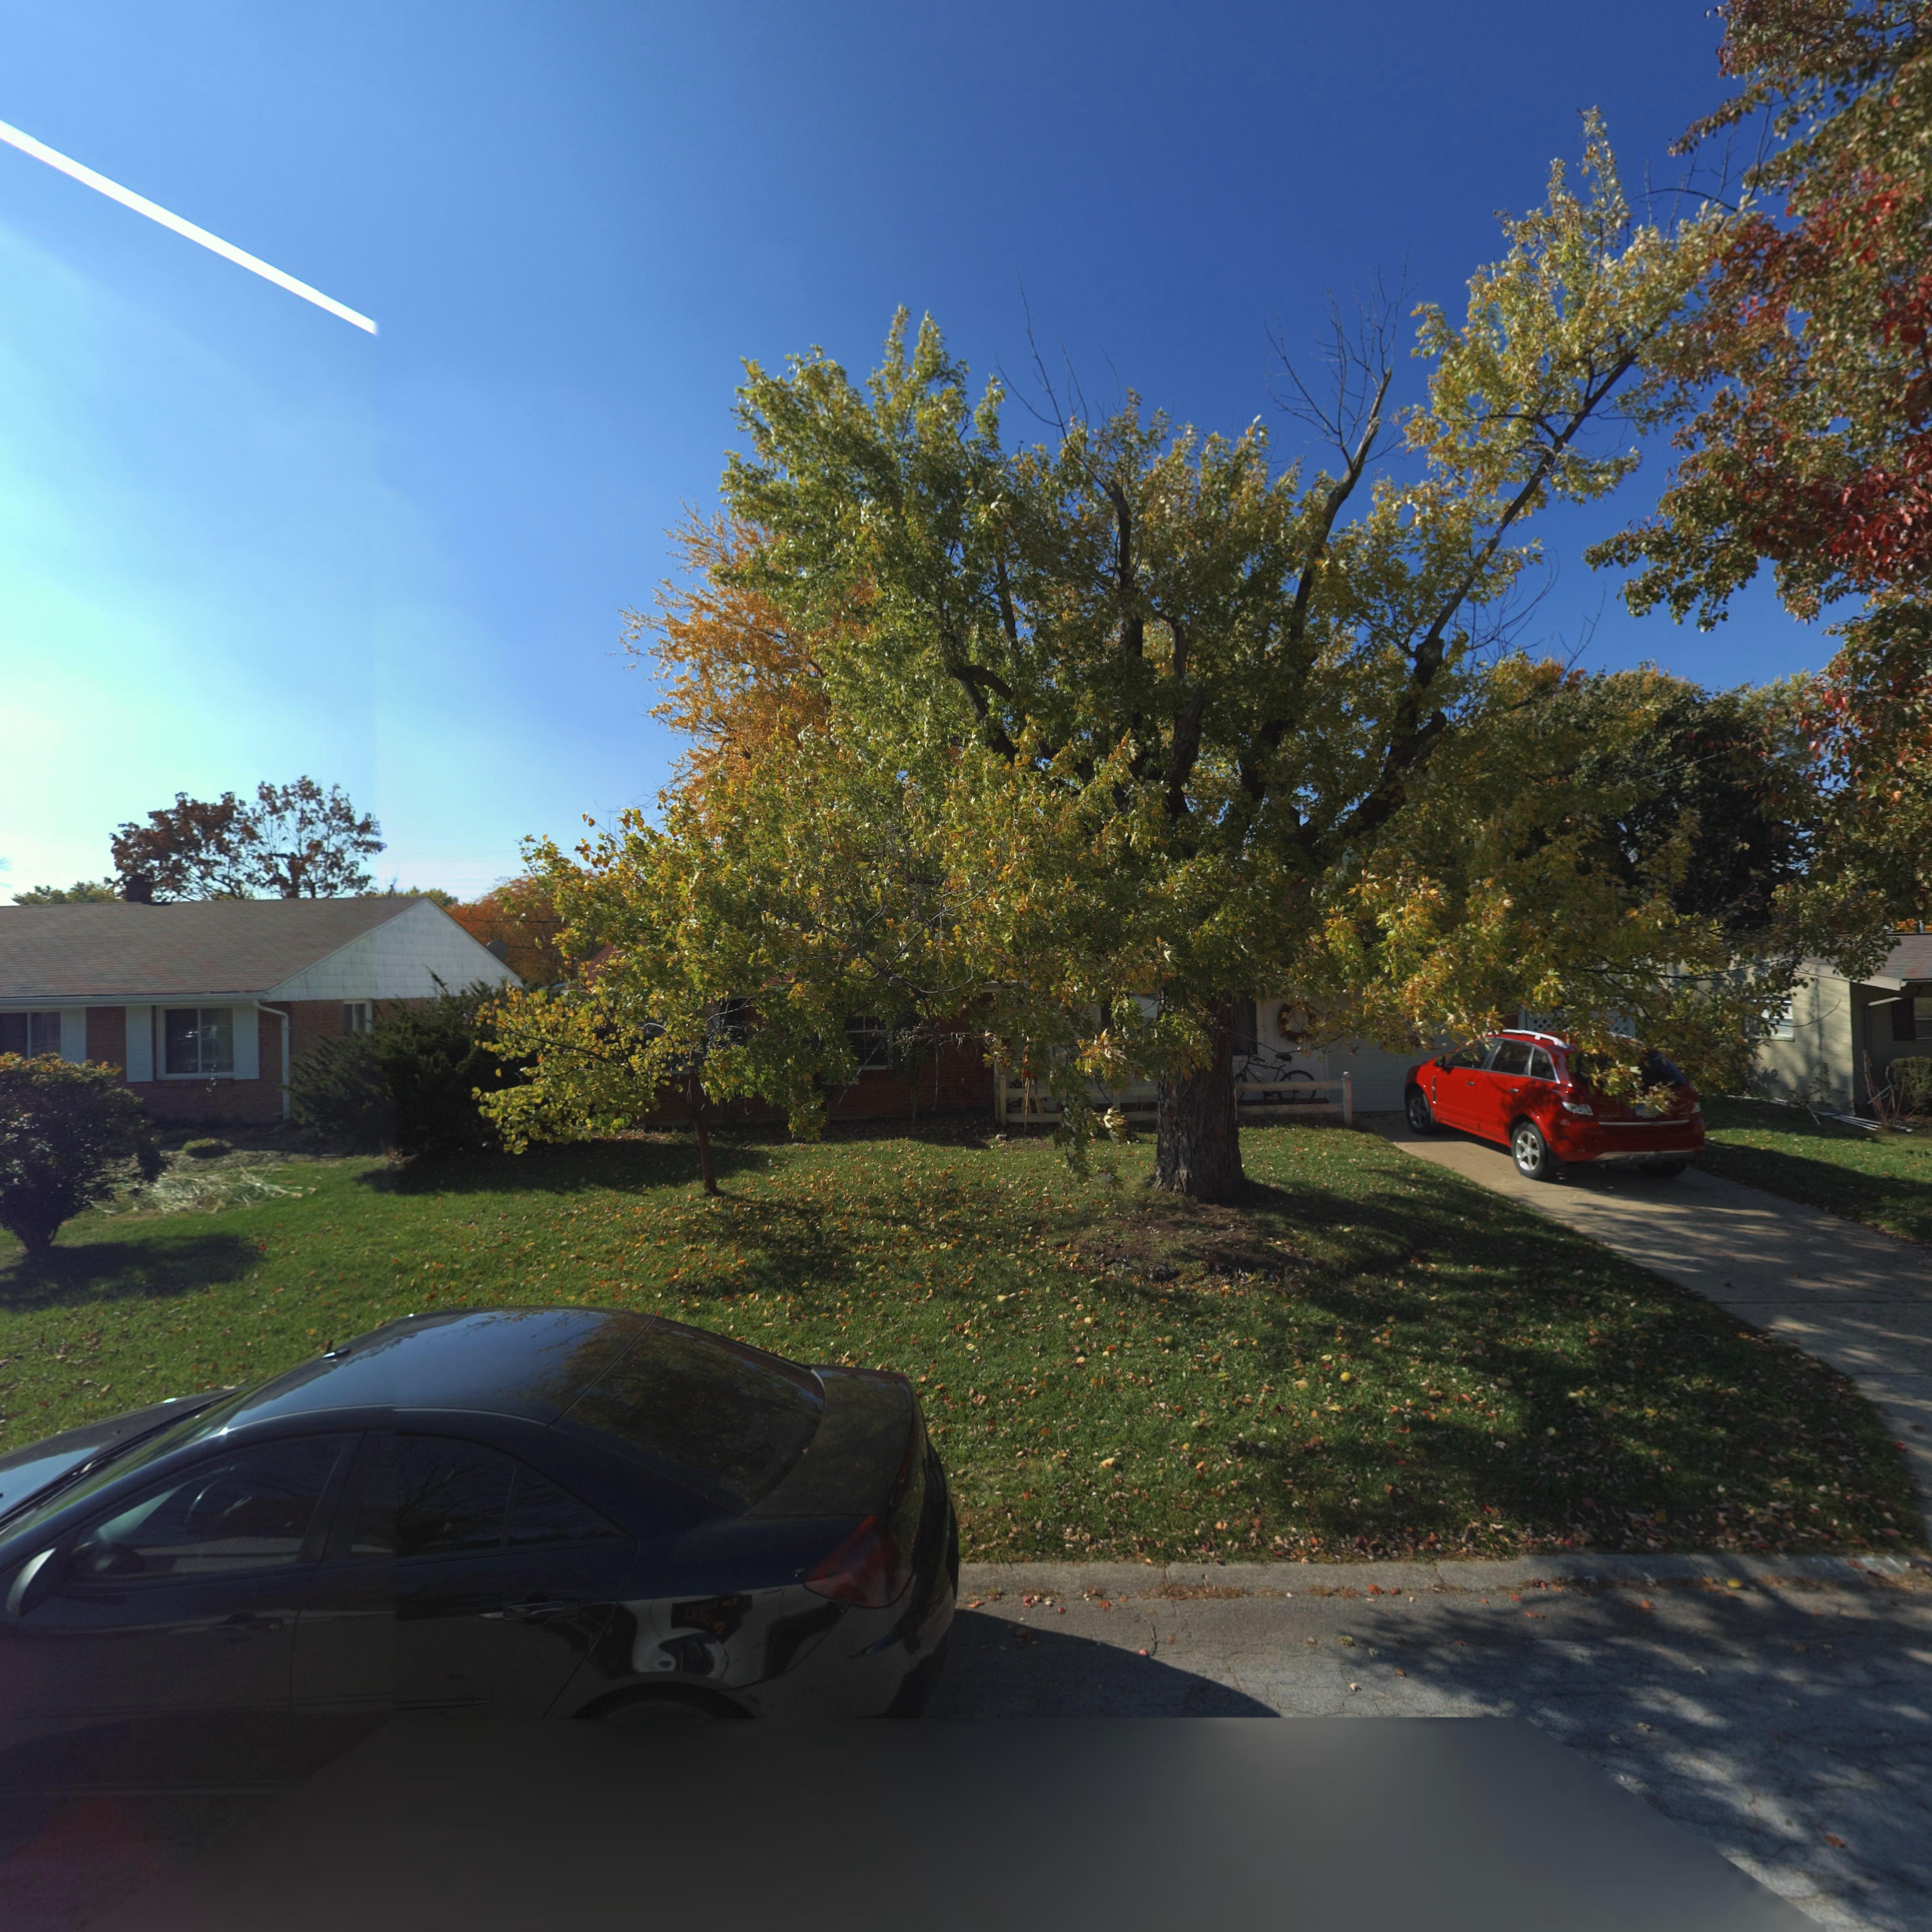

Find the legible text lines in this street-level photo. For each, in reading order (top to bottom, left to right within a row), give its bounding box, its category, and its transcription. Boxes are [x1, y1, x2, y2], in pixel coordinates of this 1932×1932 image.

[1075, 1005, 1089, 1014] StreetNumber: *8*1